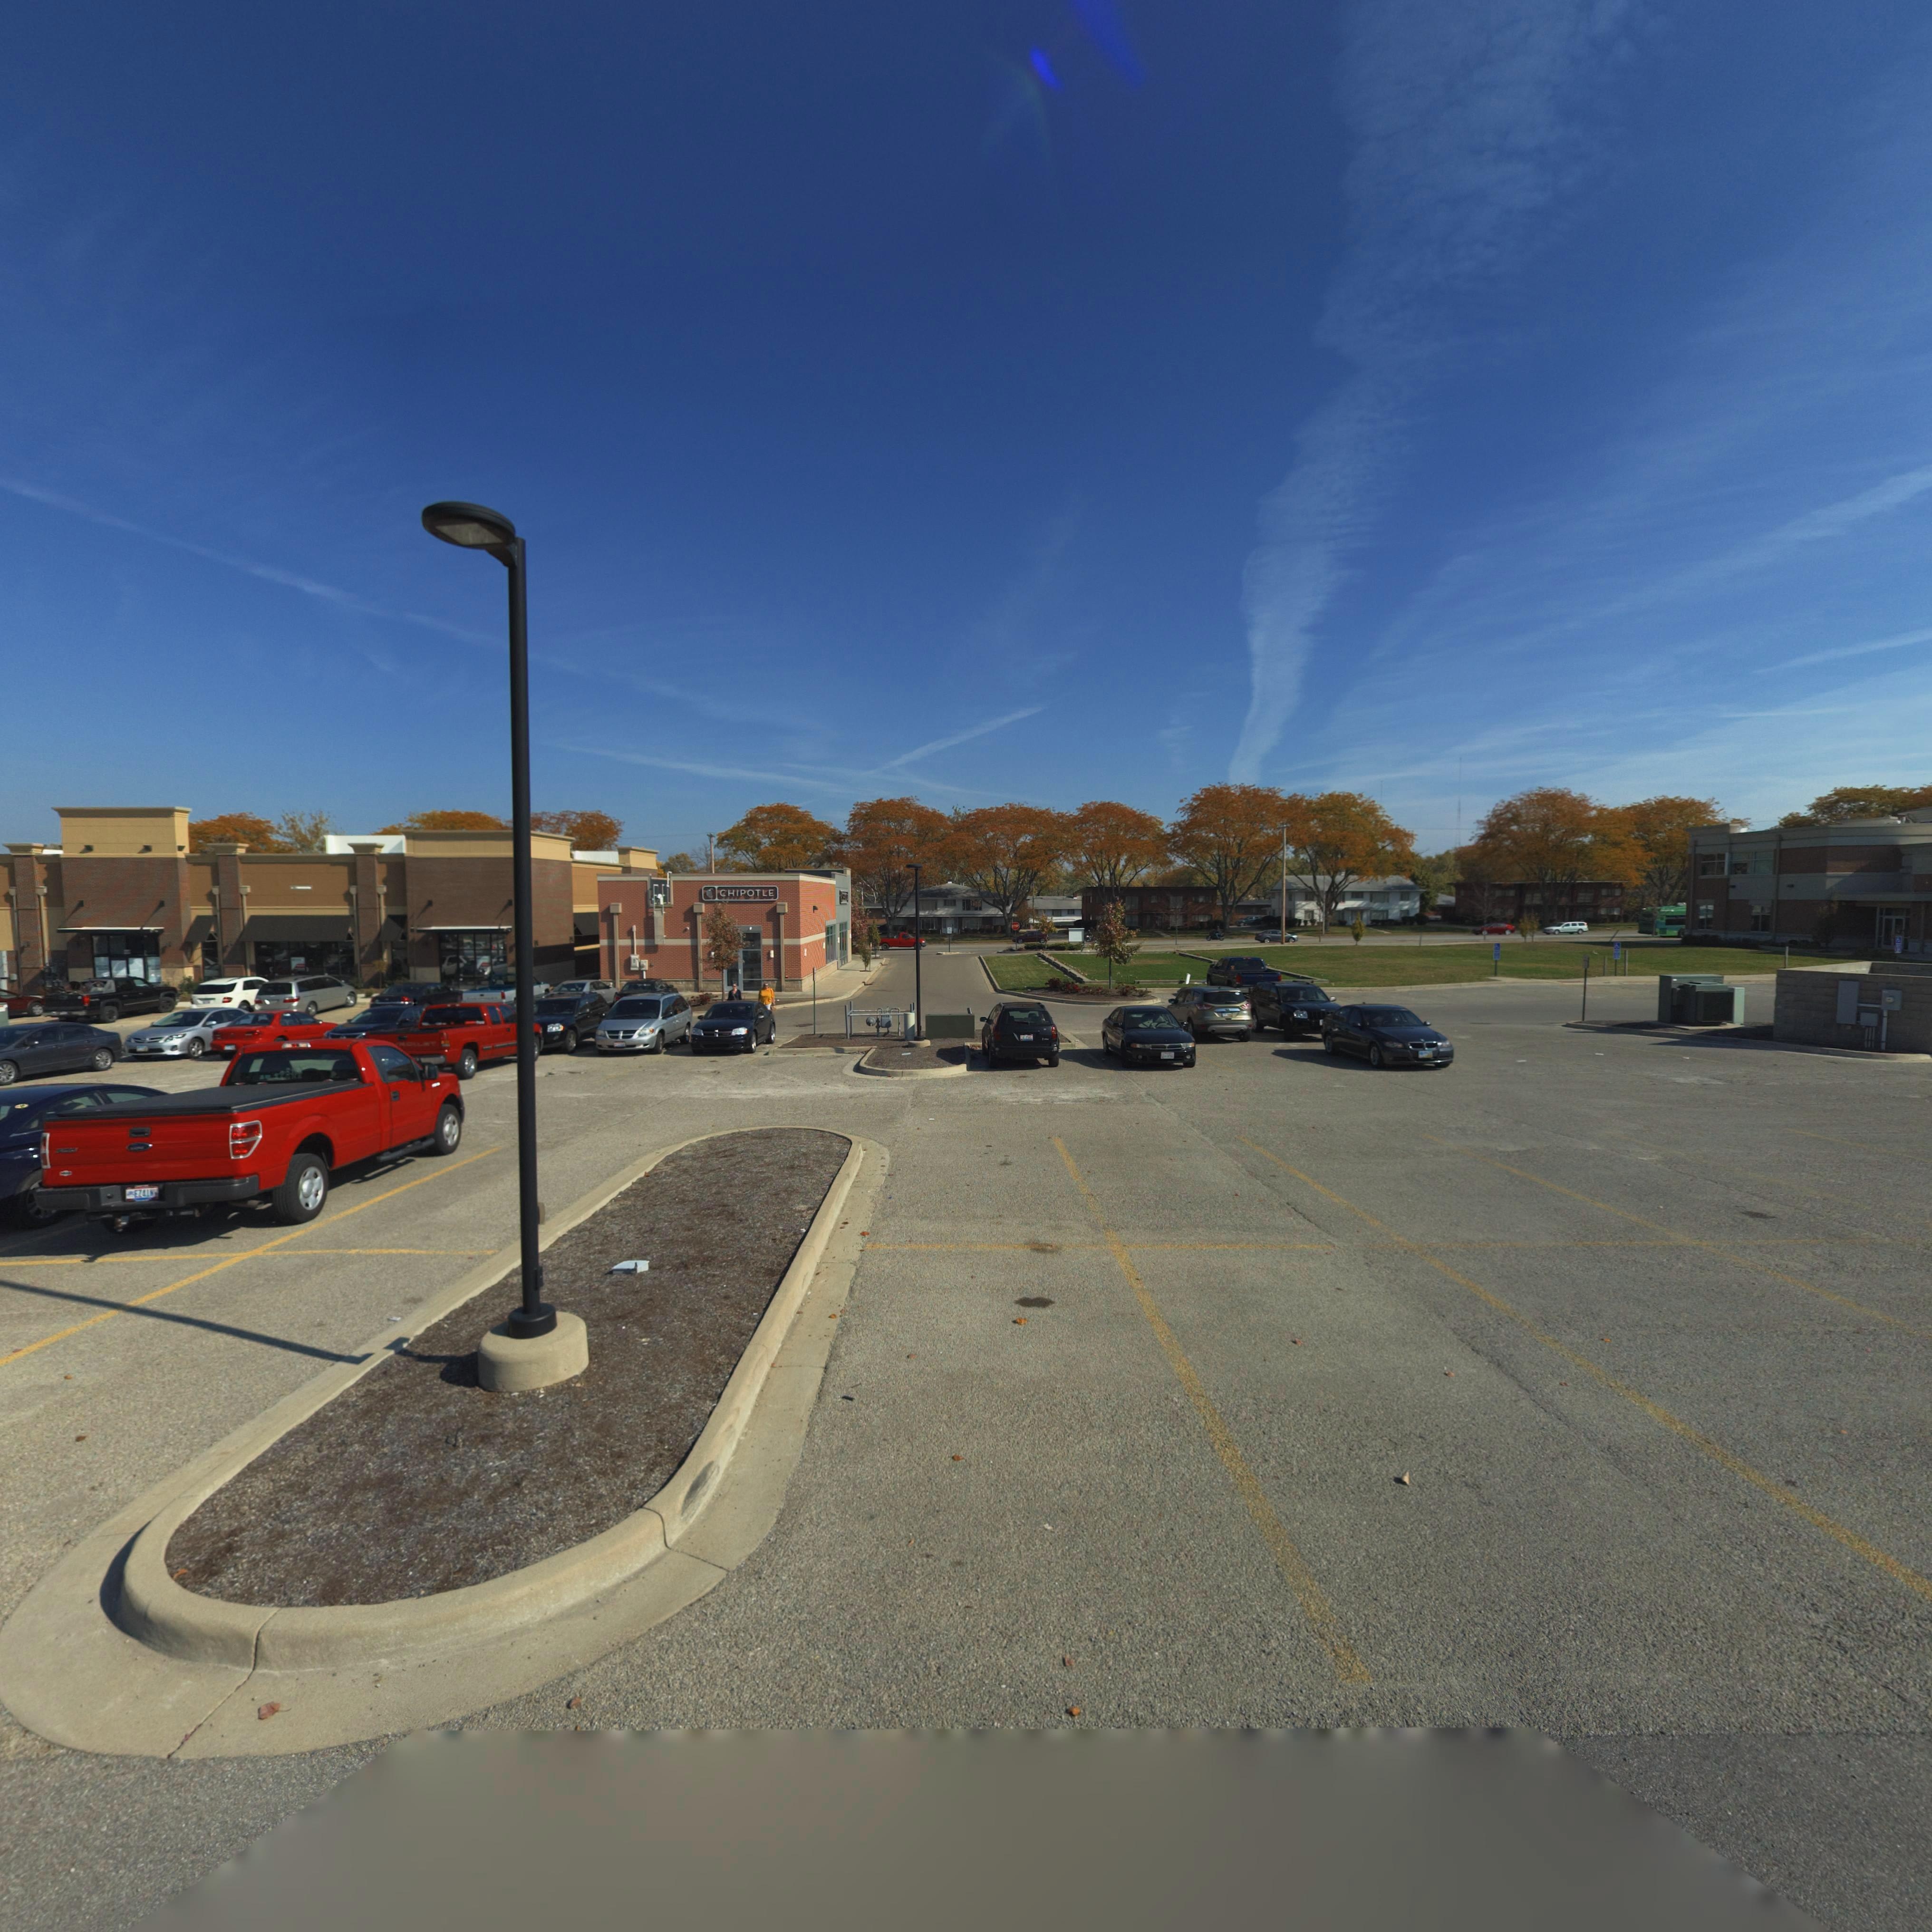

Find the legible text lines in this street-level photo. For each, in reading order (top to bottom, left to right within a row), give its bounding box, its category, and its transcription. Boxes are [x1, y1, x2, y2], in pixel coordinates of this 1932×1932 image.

[719, 888, 775, 898] StreetNumber: CHIPOTLE